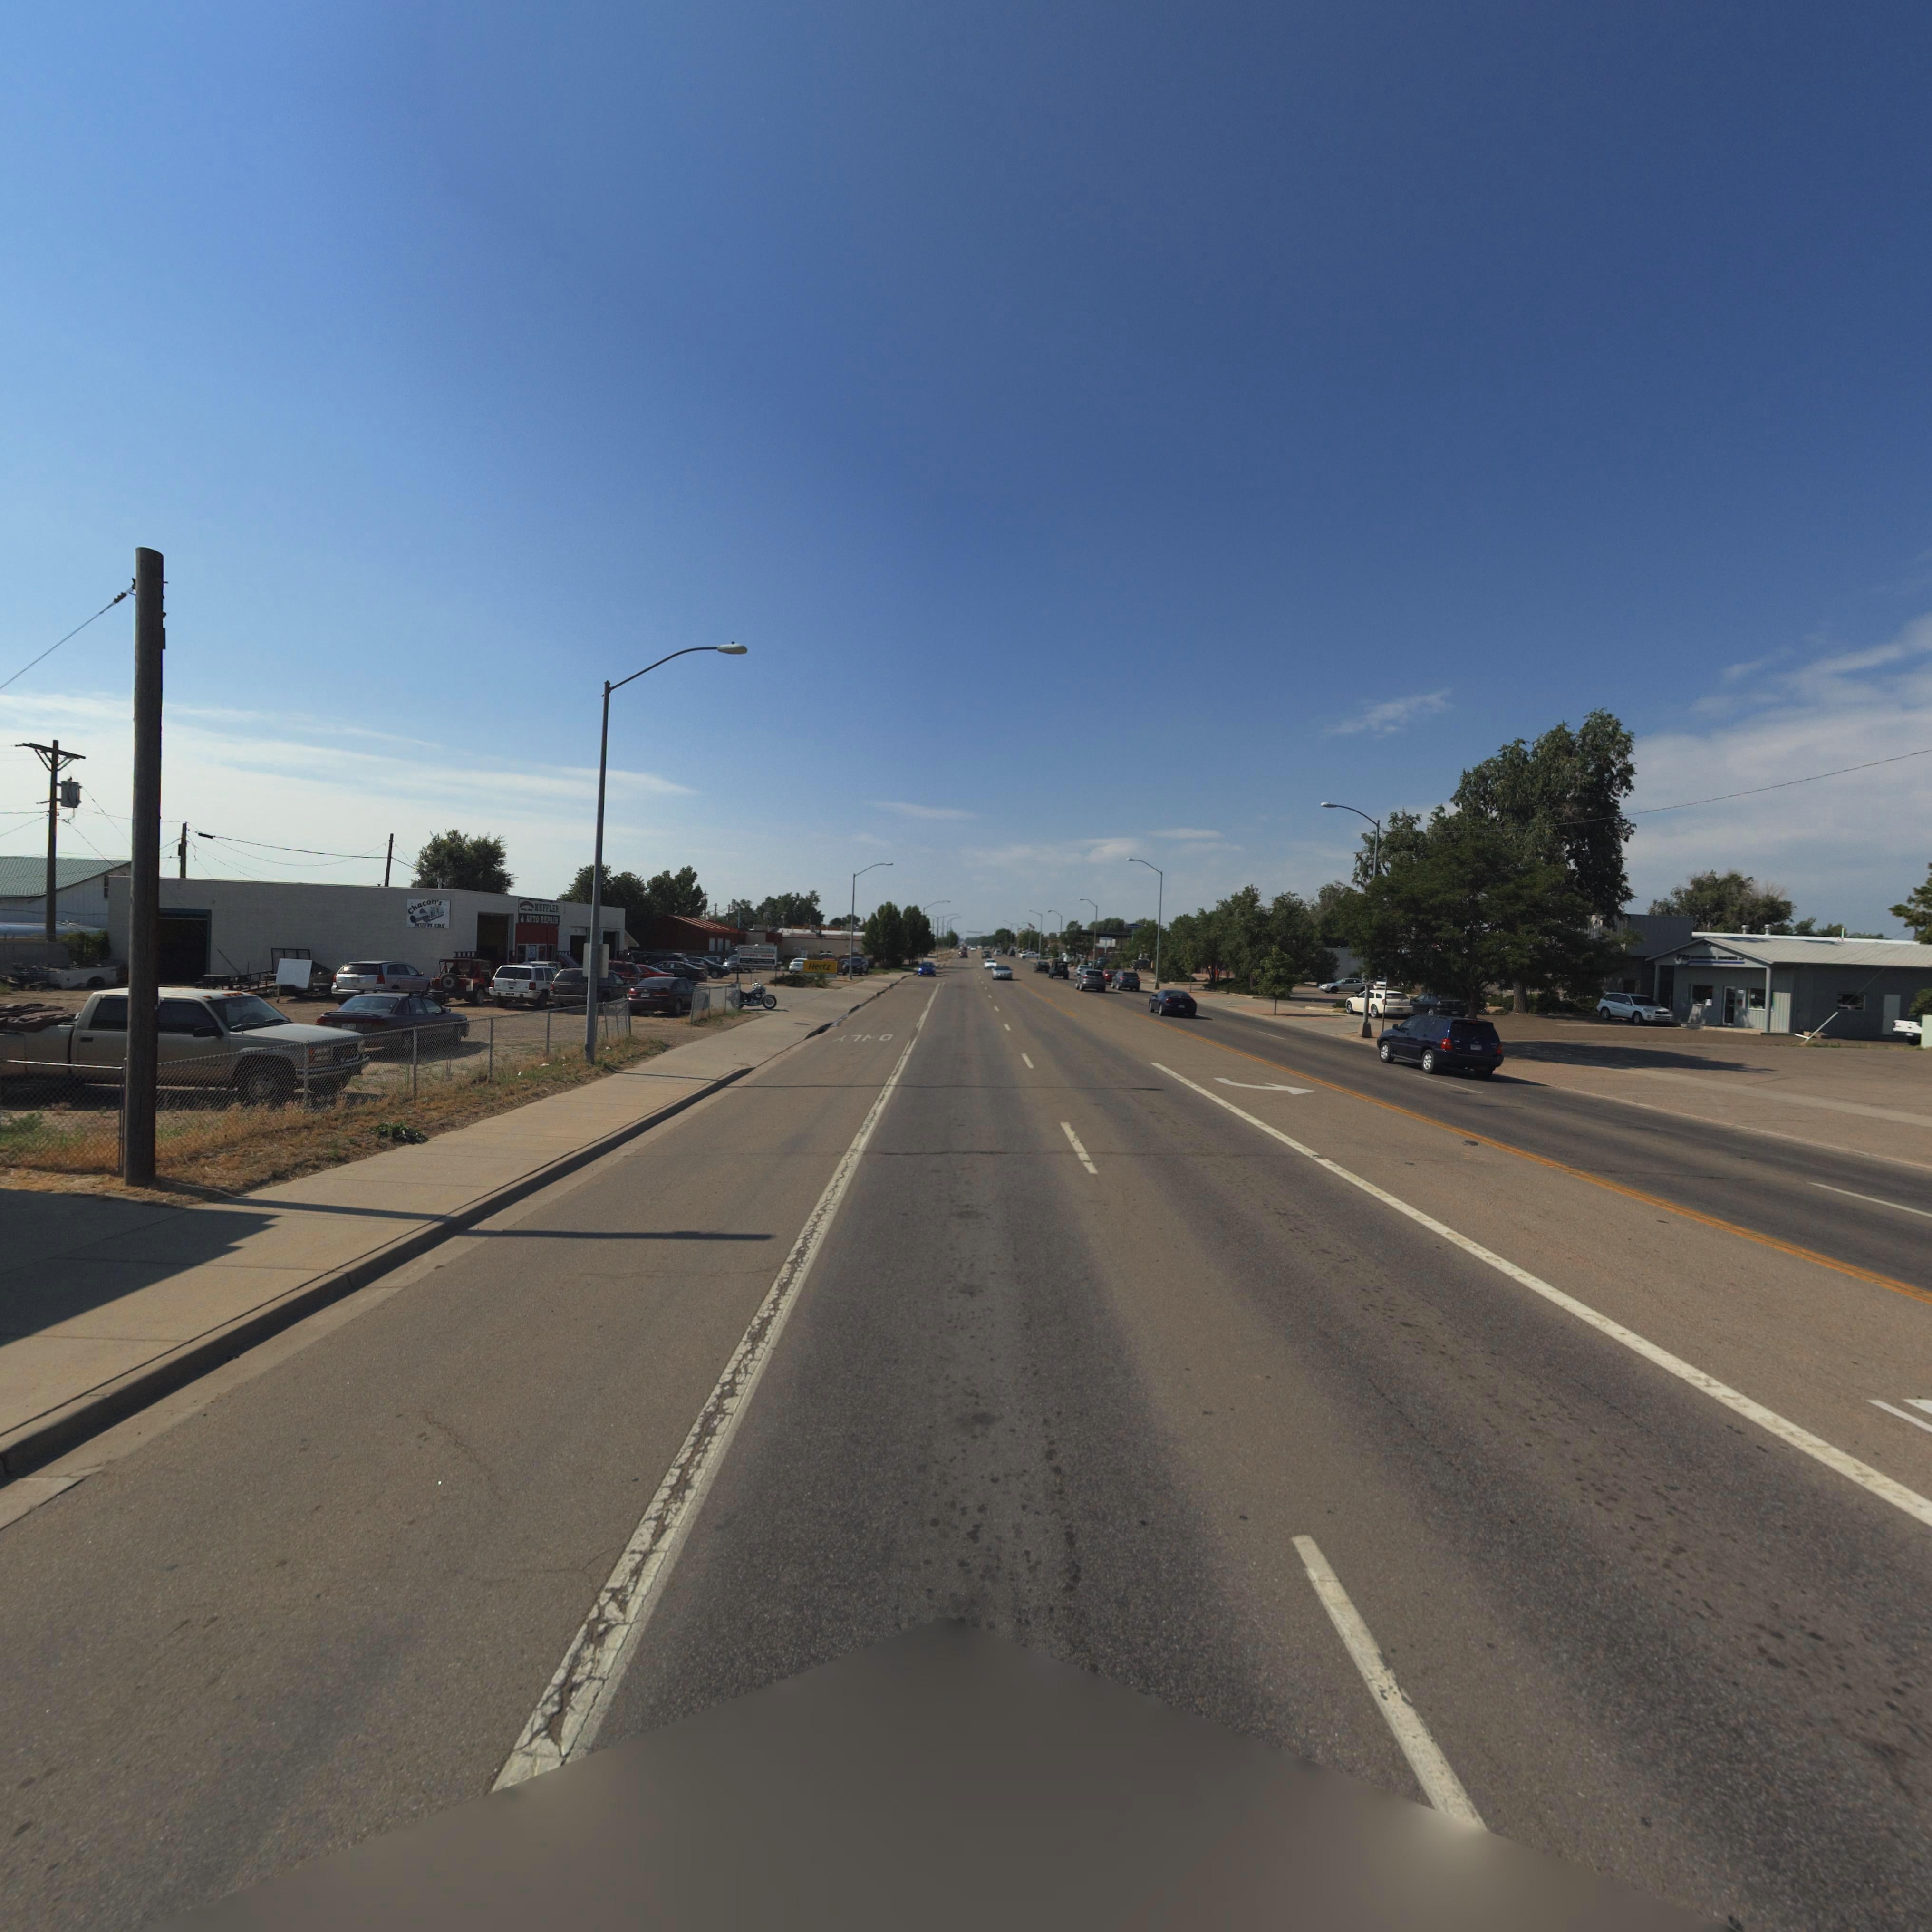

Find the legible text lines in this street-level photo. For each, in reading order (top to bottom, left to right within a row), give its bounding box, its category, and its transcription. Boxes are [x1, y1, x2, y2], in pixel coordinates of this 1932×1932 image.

[534, 903, 559, 912] BusinessName: MUFFLER
[520, 914, 558, 924] BusinessName: & AUTO REPAIR
[1676, 953, 1690, 962] BusinessName: Pro
[808, 963, 831, 970] BusinessName: Hertz